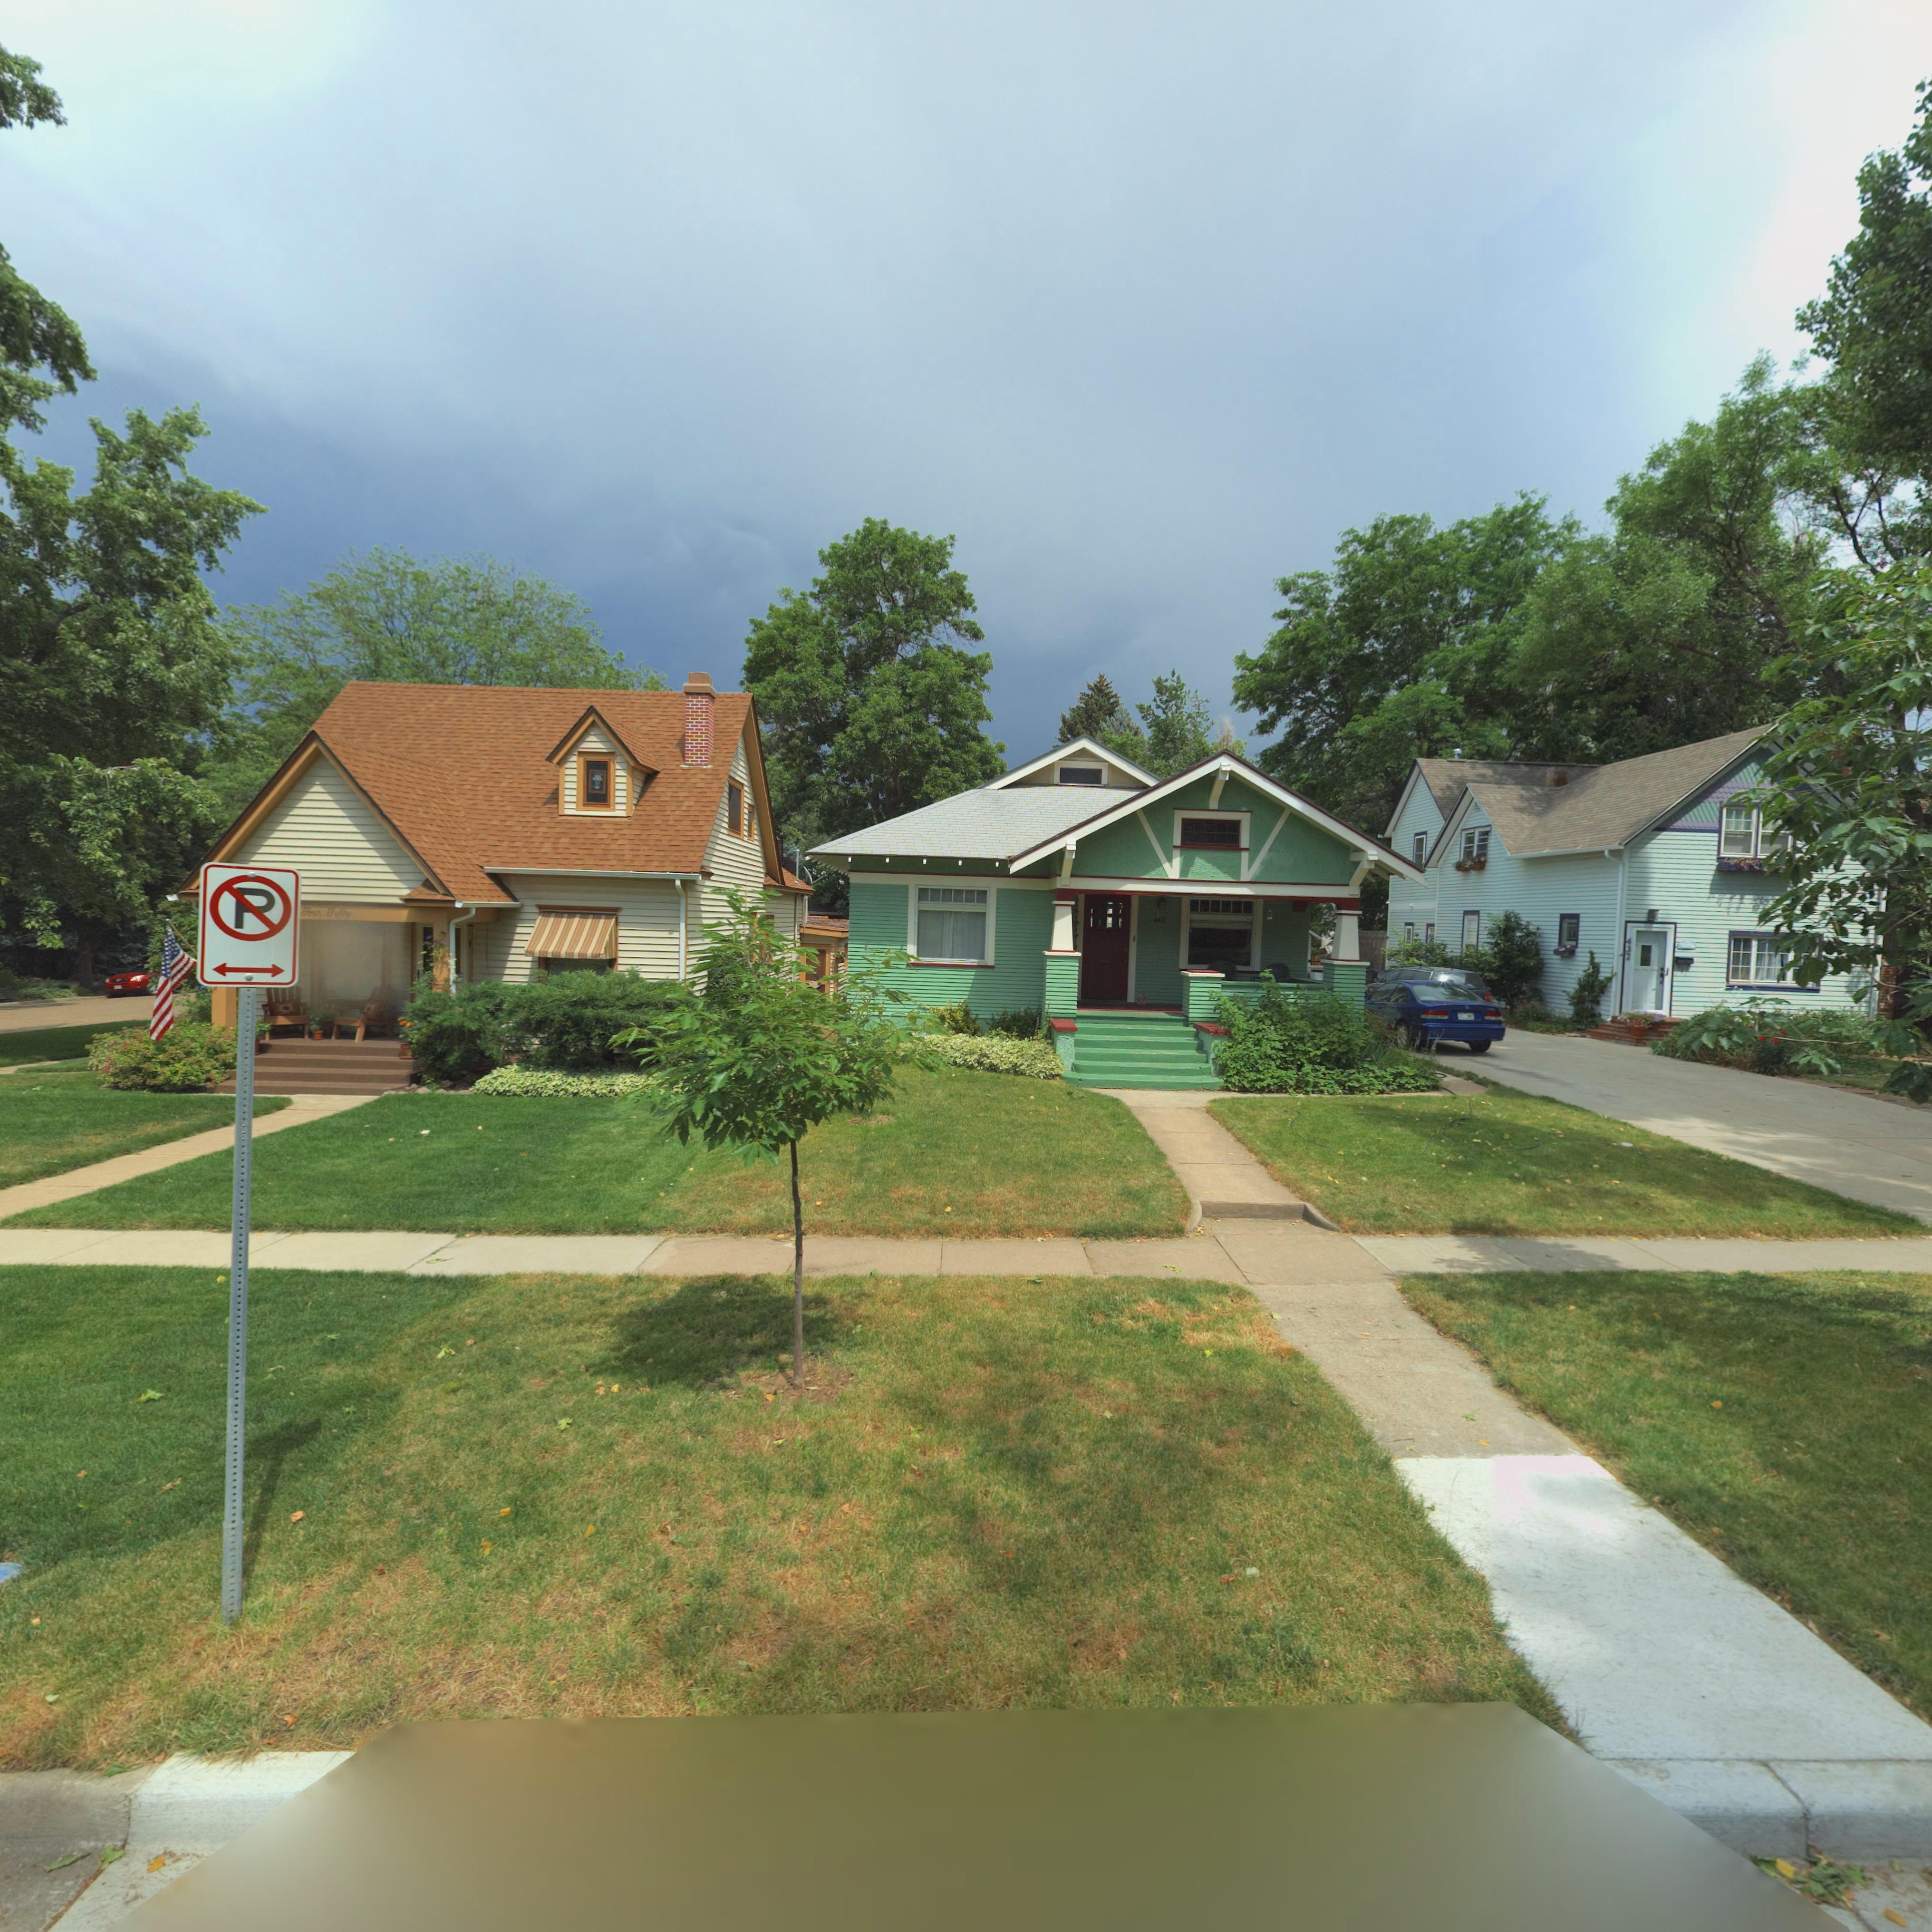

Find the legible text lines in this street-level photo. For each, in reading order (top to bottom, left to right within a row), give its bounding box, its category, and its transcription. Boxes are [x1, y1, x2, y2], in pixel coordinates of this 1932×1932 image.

[300, 906, 353, 920] StreetNumber: *ou* *i*ty
[1153, 916, 1166, 923] StreetNumber: 442
[1625, 937, 1632, 960] StreetNumber: 432